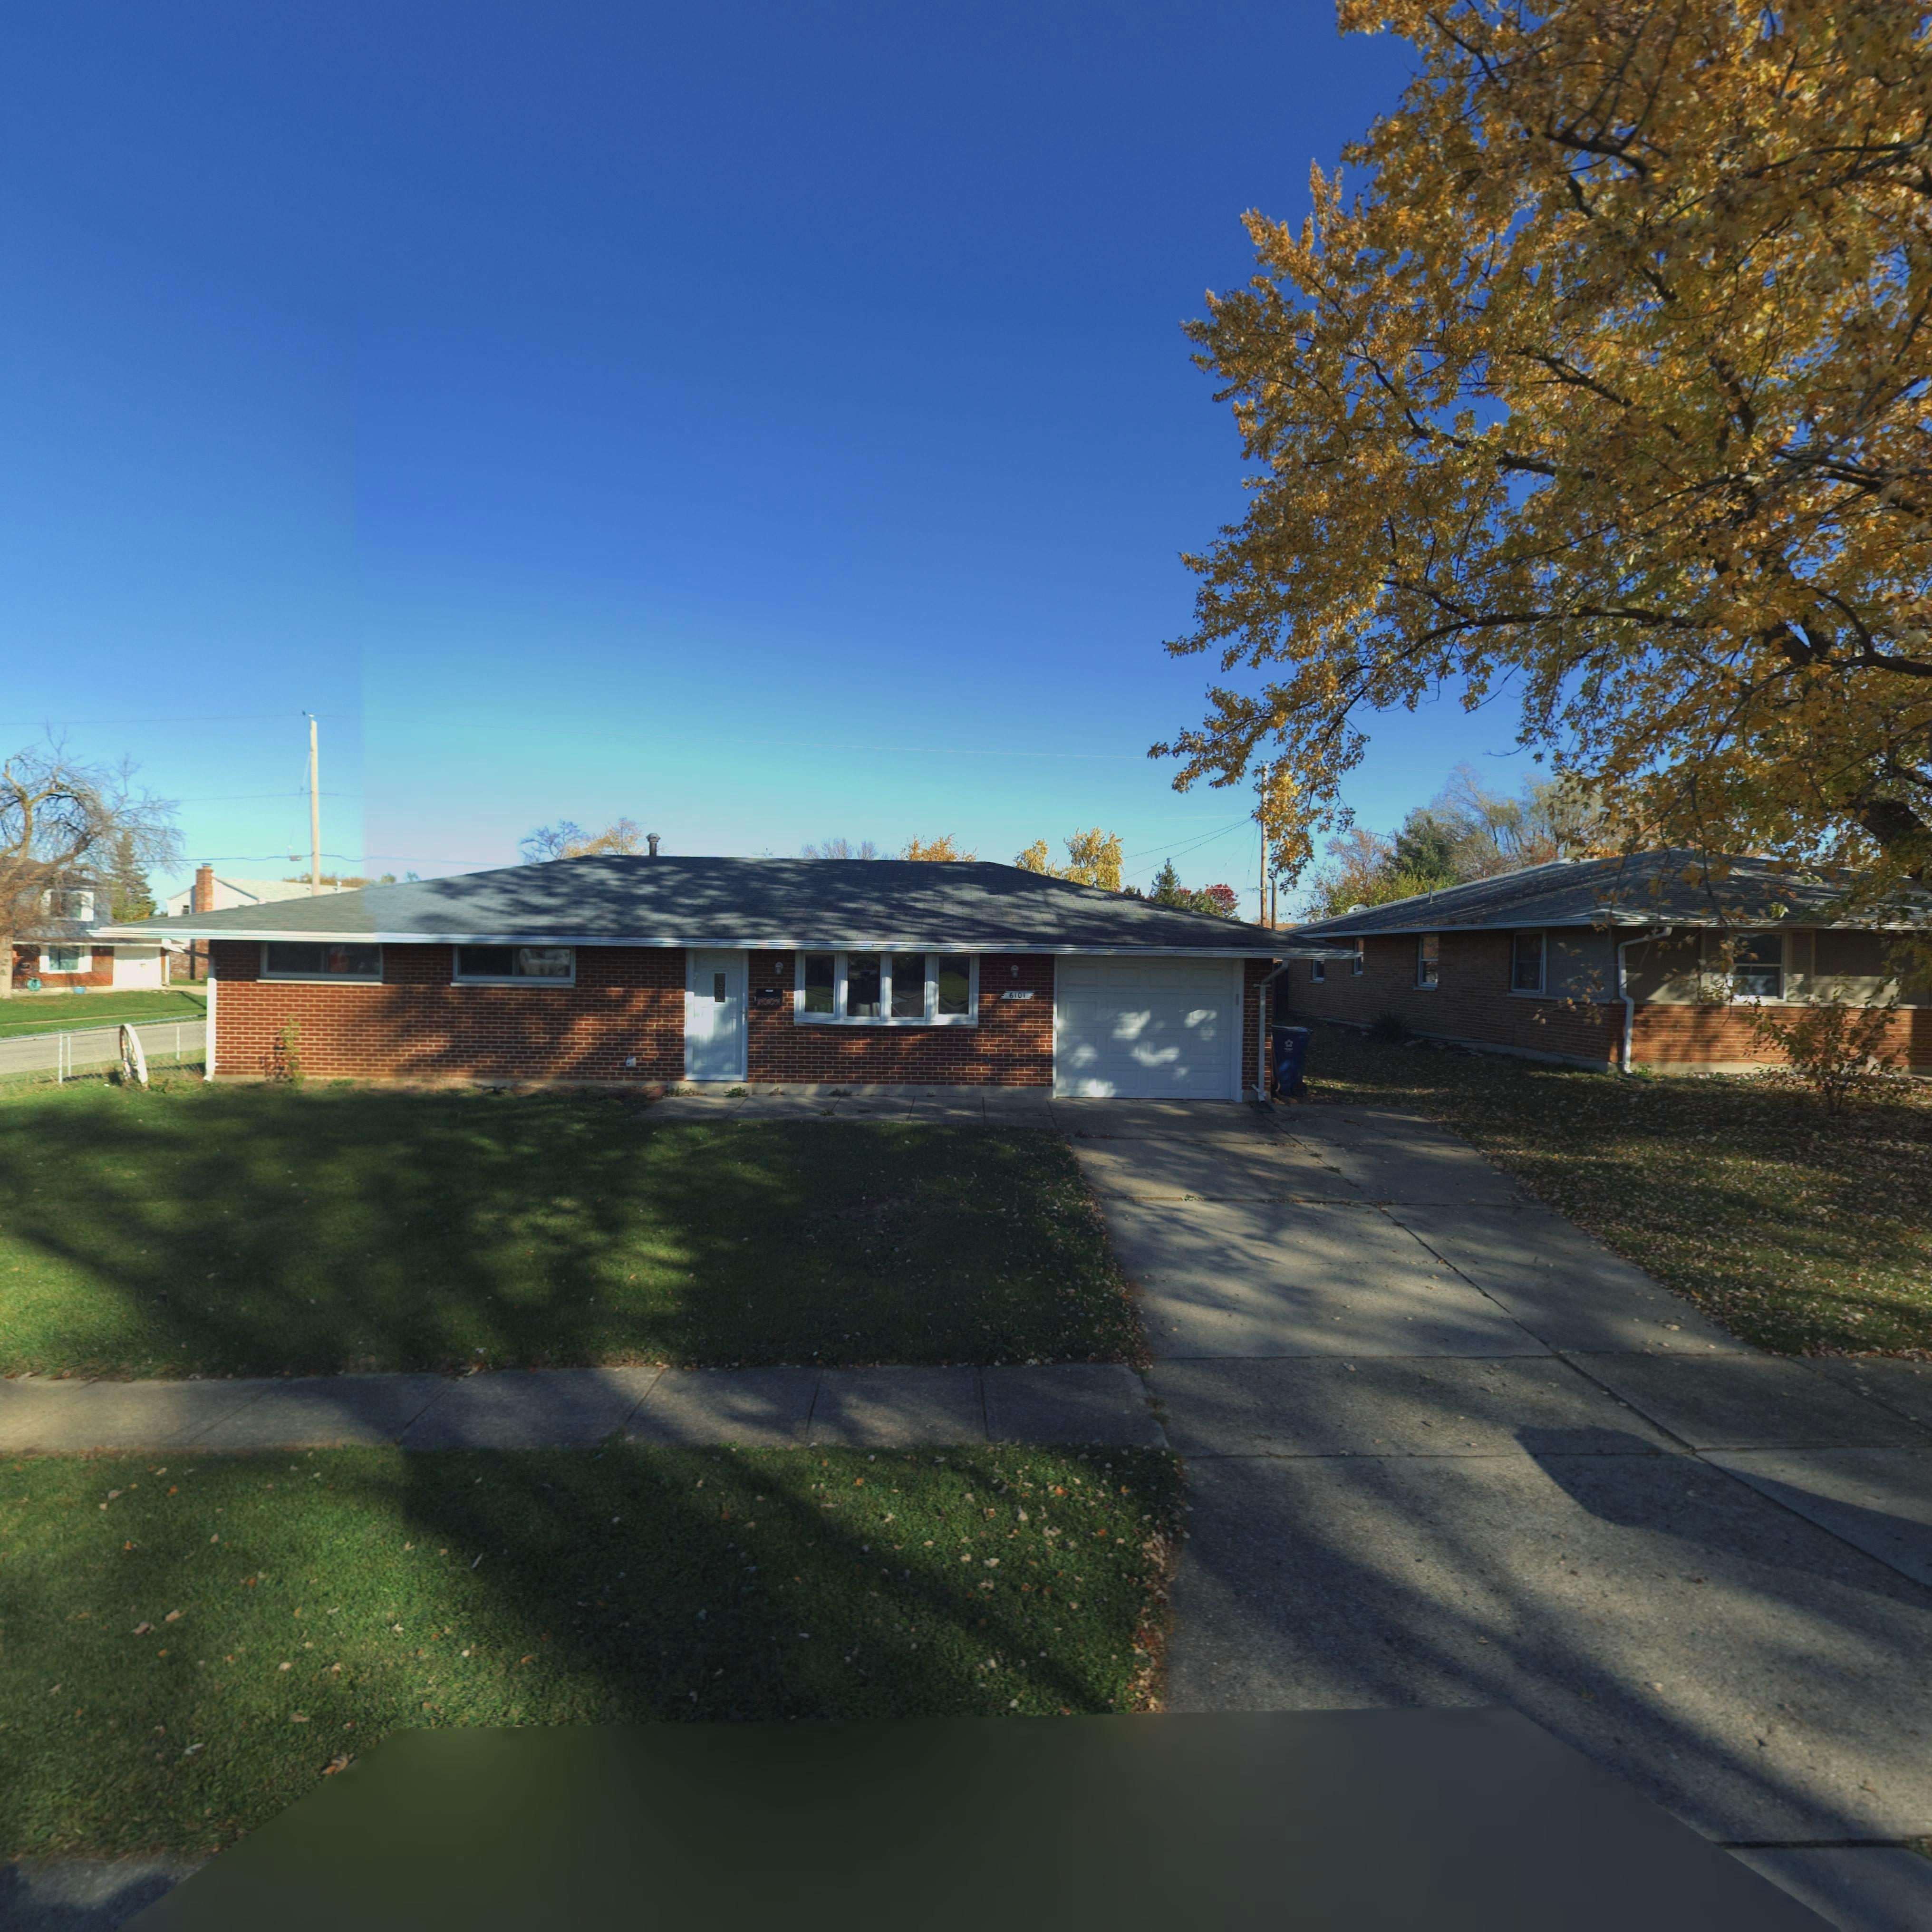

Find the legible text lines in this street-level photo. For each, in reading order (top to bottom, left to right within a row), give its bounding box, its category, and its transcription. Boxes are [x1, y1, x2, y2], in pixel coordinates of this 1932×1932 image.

[1008, 991, 1026, 999] StreetNumber: 6101